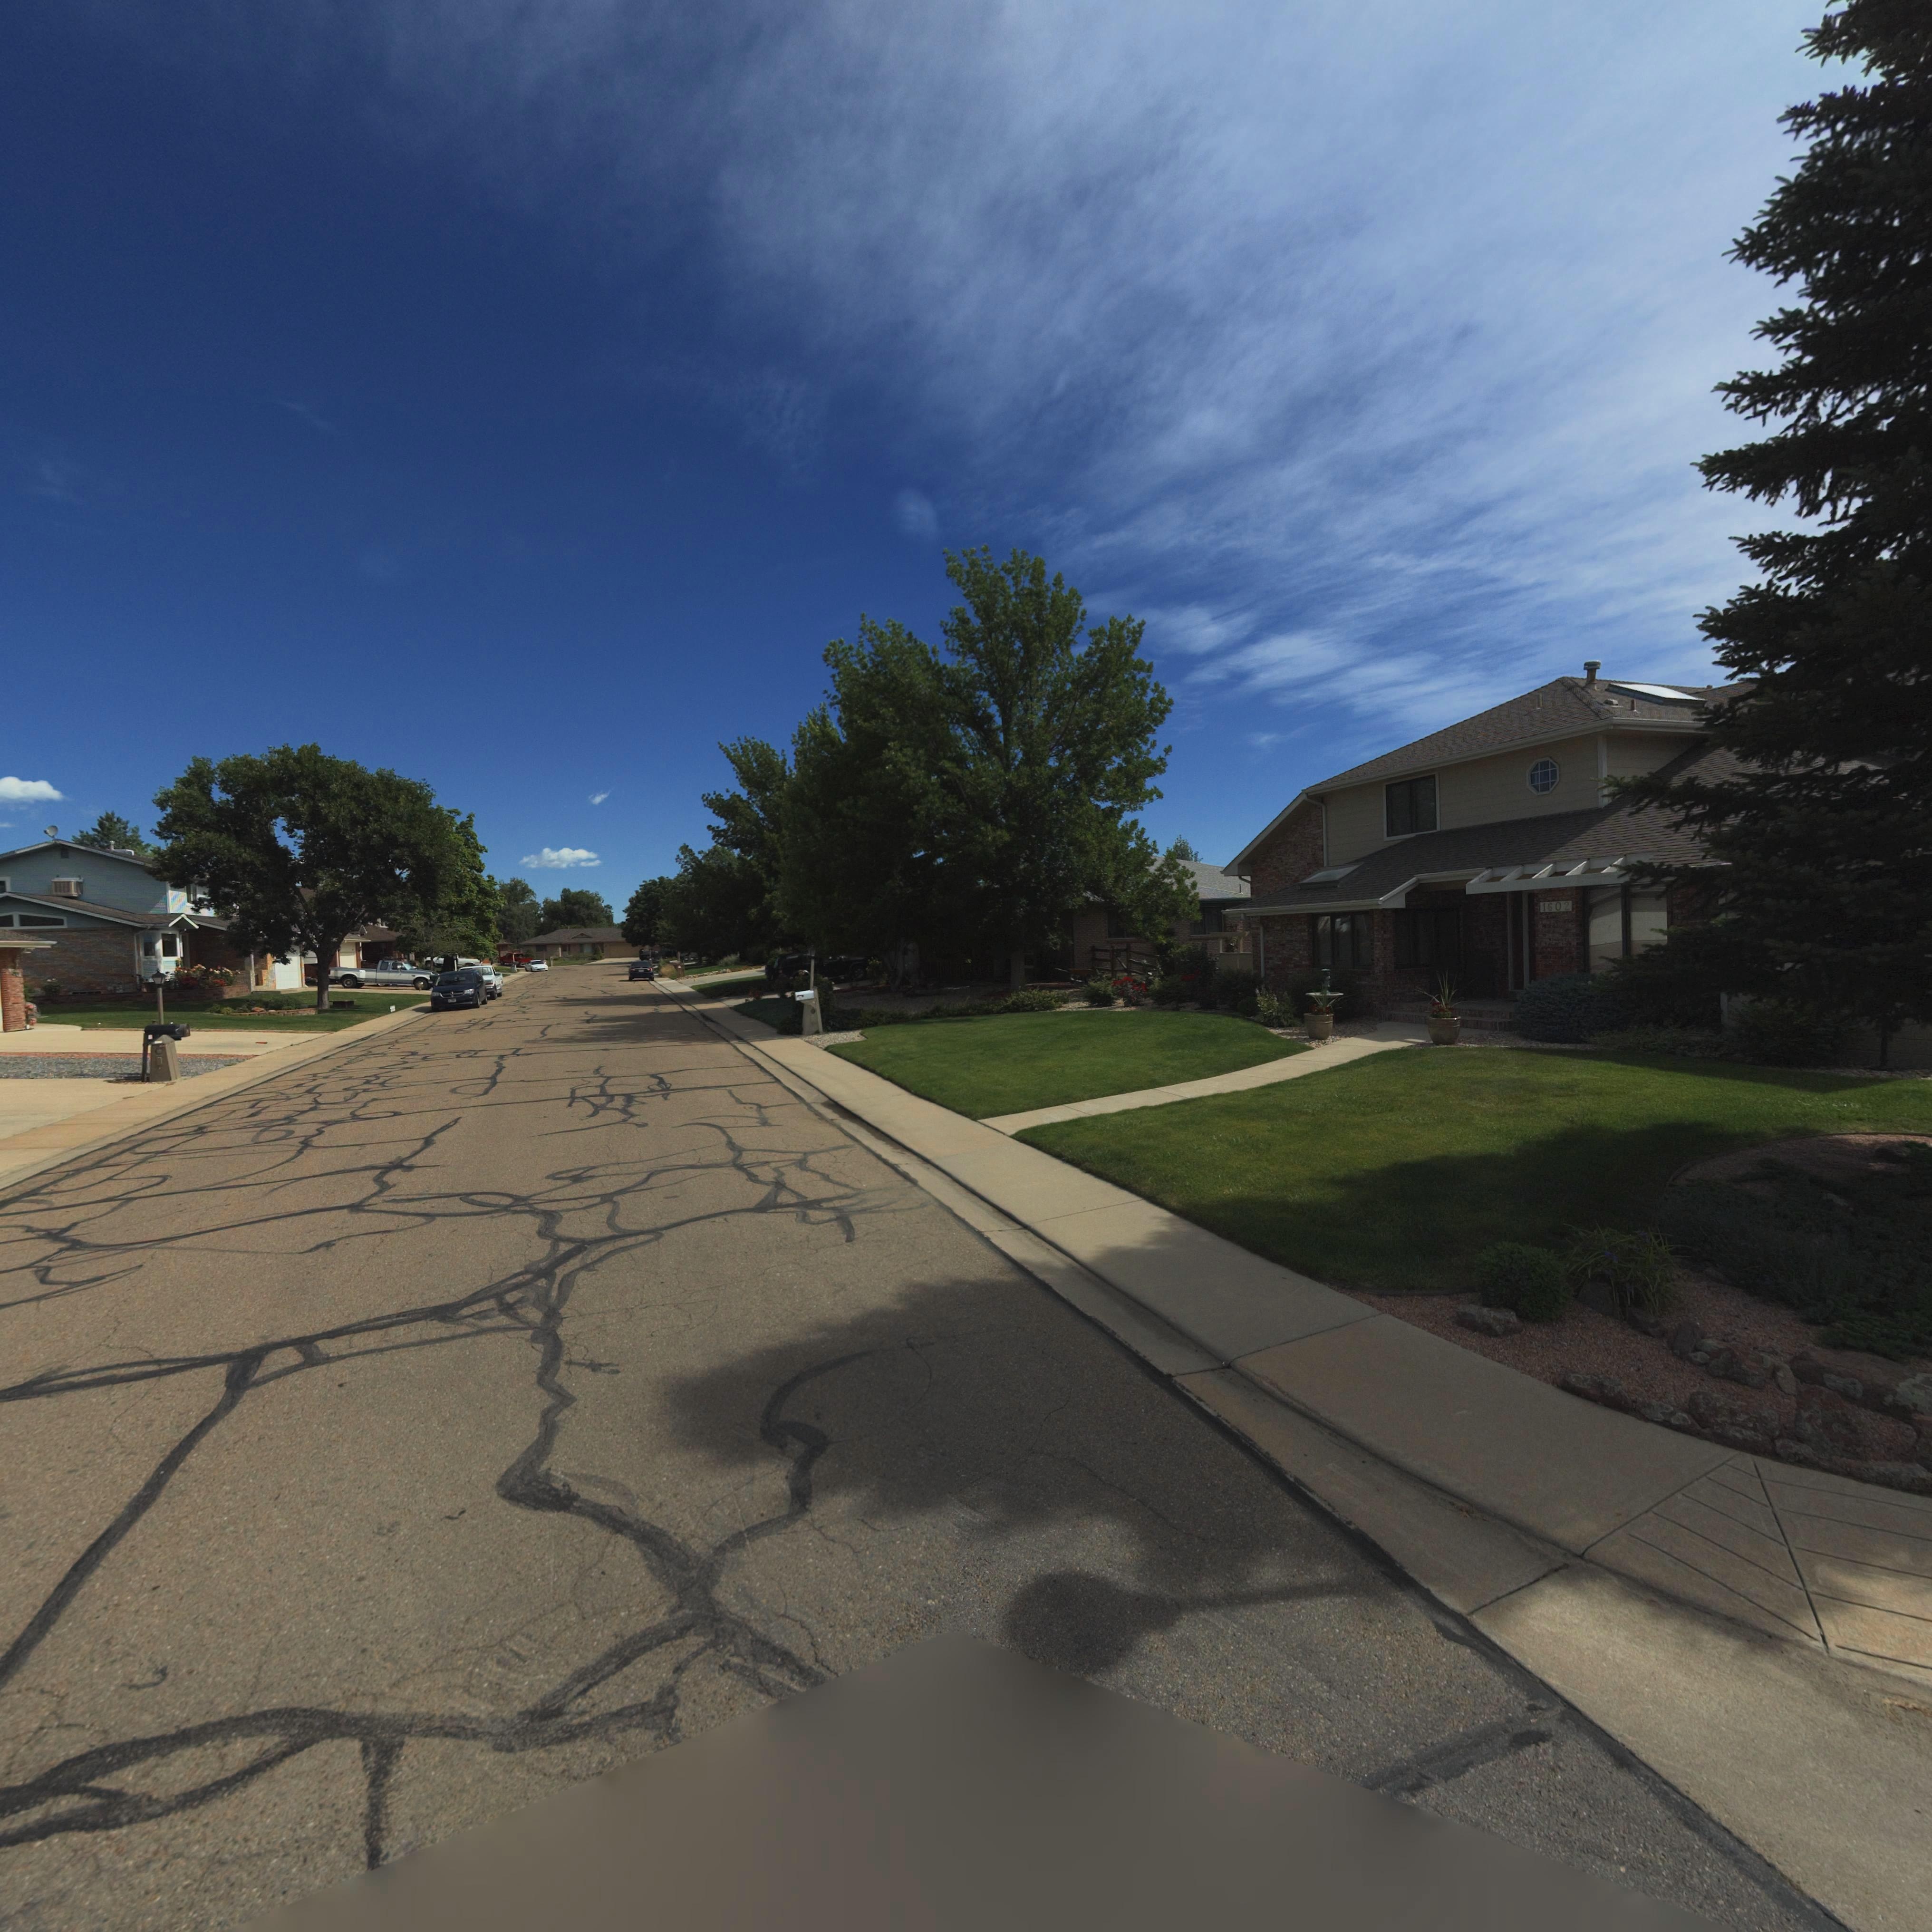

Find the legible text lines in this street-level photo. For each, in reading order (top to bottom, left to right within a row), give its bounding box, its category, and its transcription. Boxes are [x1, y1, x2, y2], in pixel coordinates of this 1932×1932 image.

[1542, 901, 1570, 911] StreetNumber: 1602